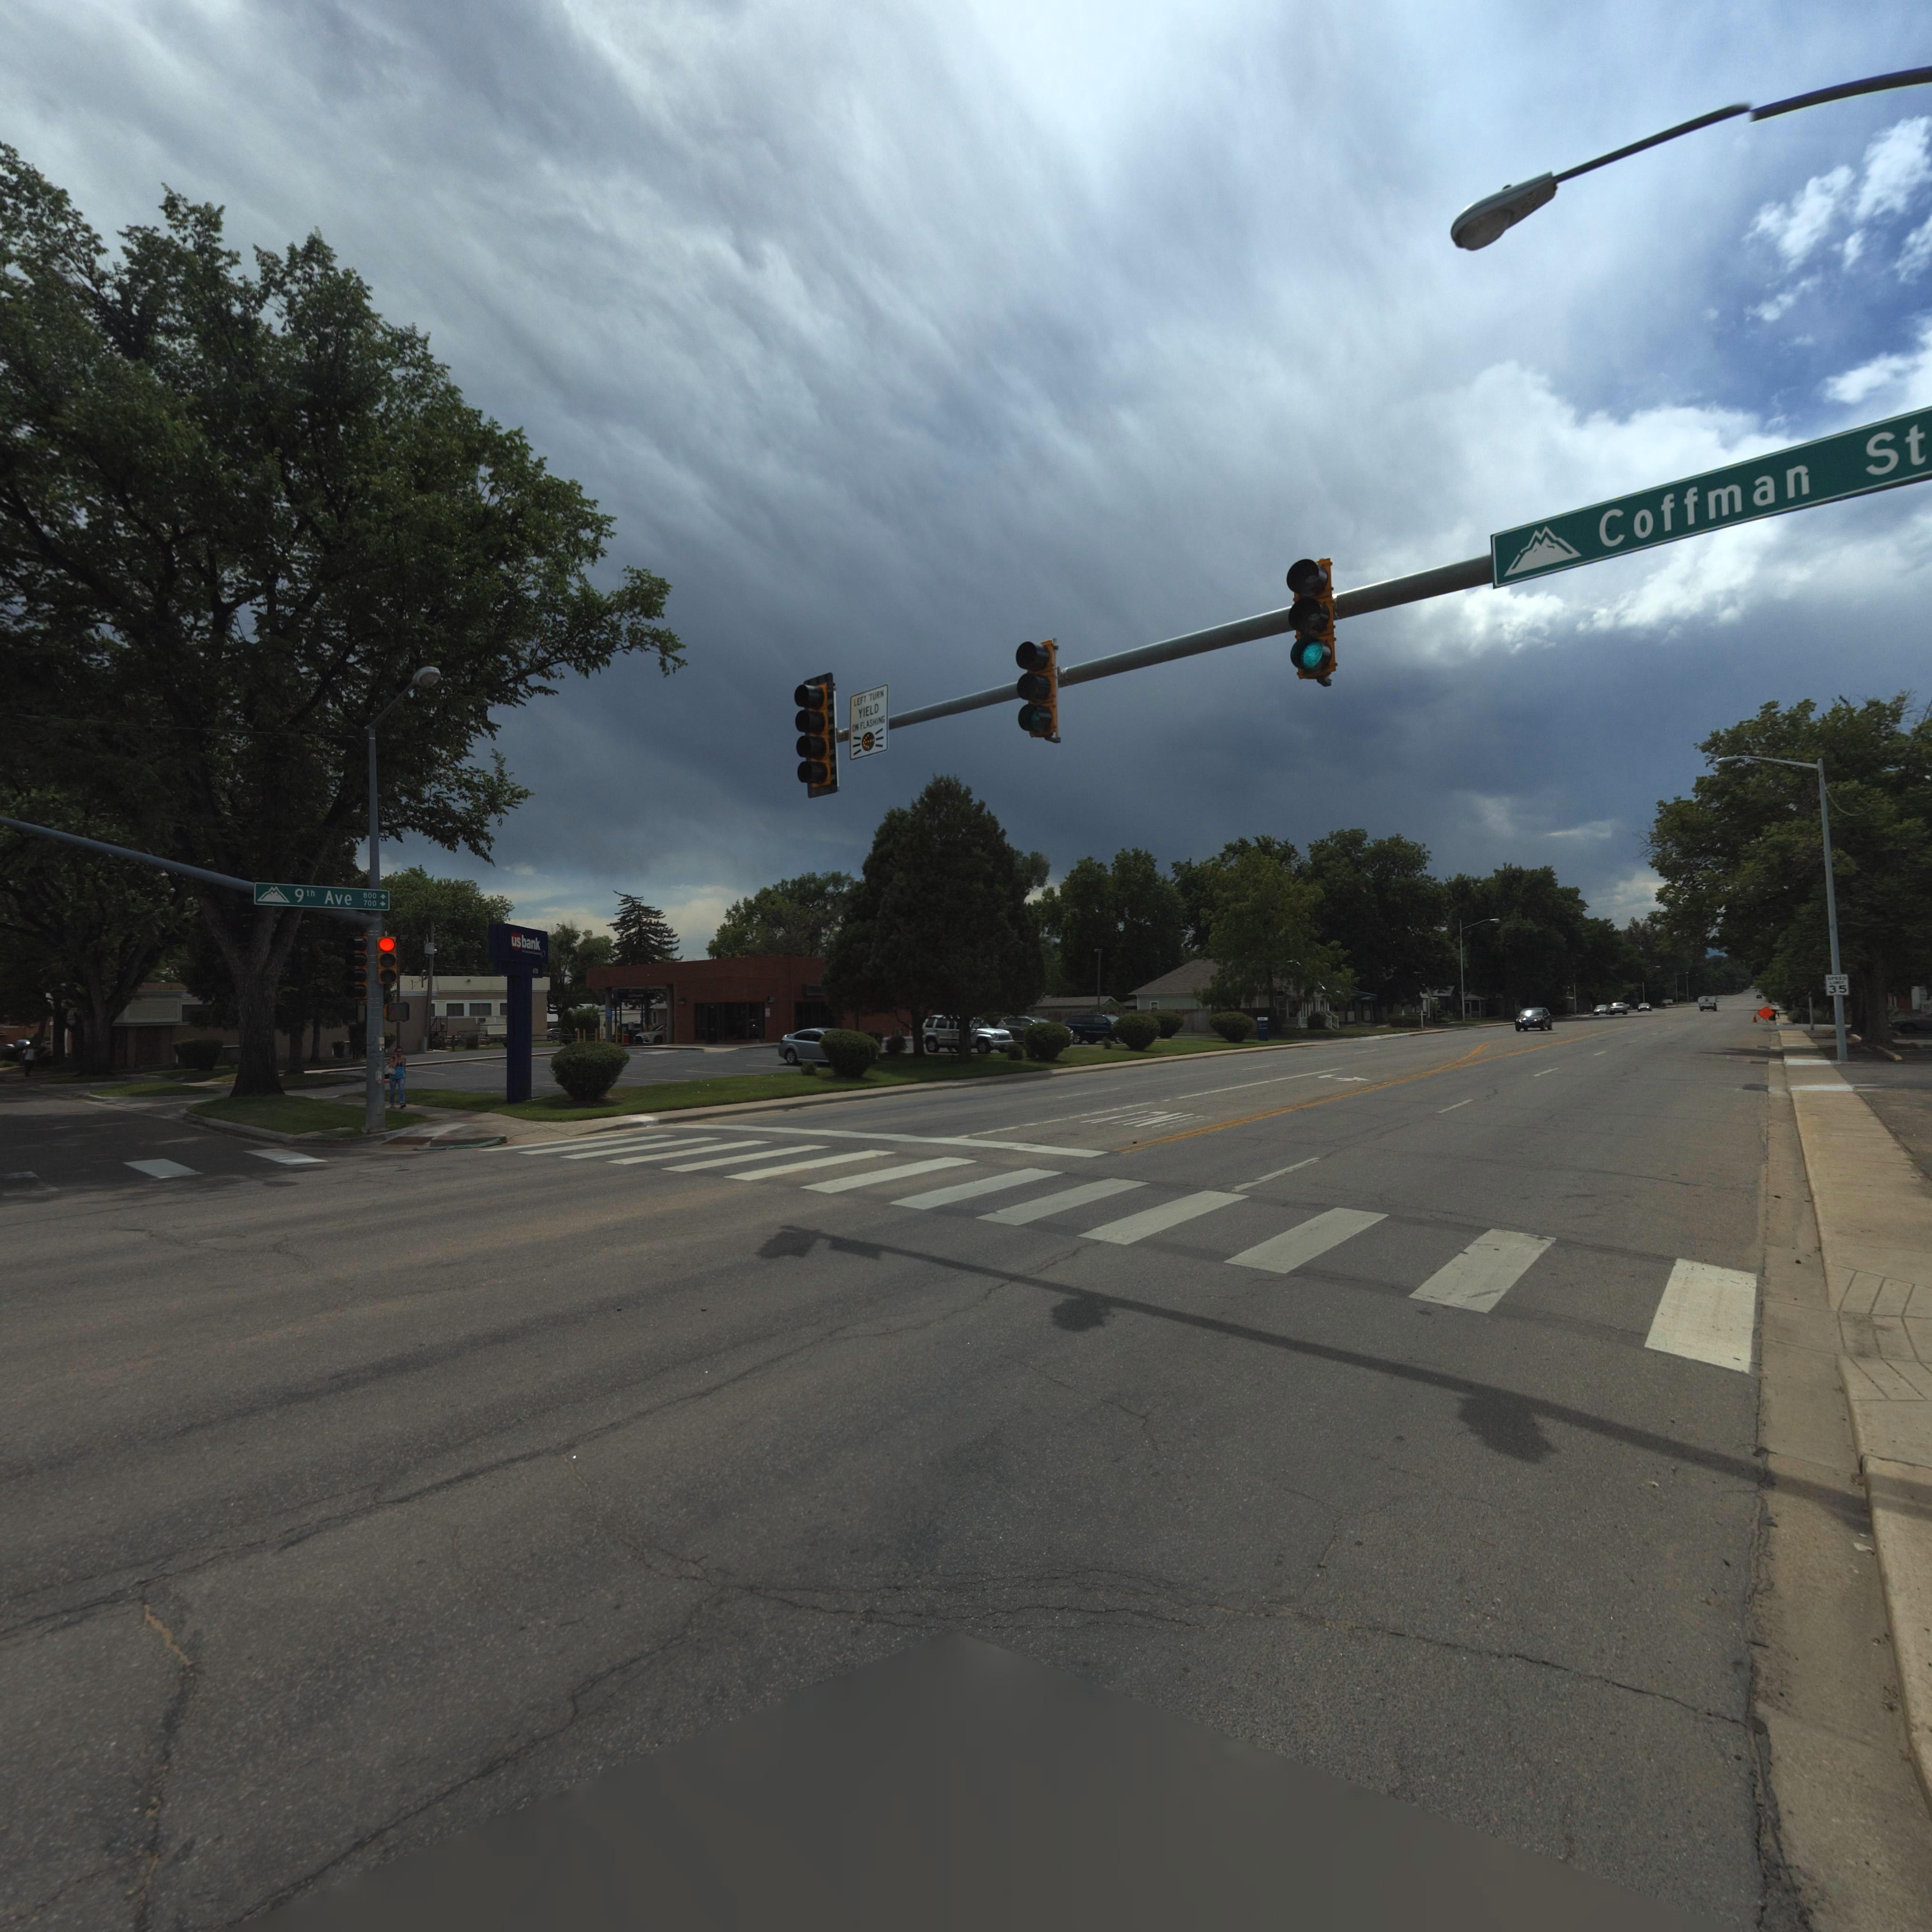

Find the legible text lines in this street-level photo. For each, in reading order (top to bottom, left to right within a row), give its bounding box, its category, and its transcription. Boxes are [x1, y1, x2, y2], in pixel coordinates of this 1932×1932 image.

[1597, 421, 1928, 549] StreetName: Coffman St
[294, 888, 352, 906] StreetName: 9th Ave
[363, 891, 377, 899] StreetNumberRange: 800
[362, 899, 386, 907] StreetNumberRange: 700->
[510, 934, 541, 951] BusinessName: usbank